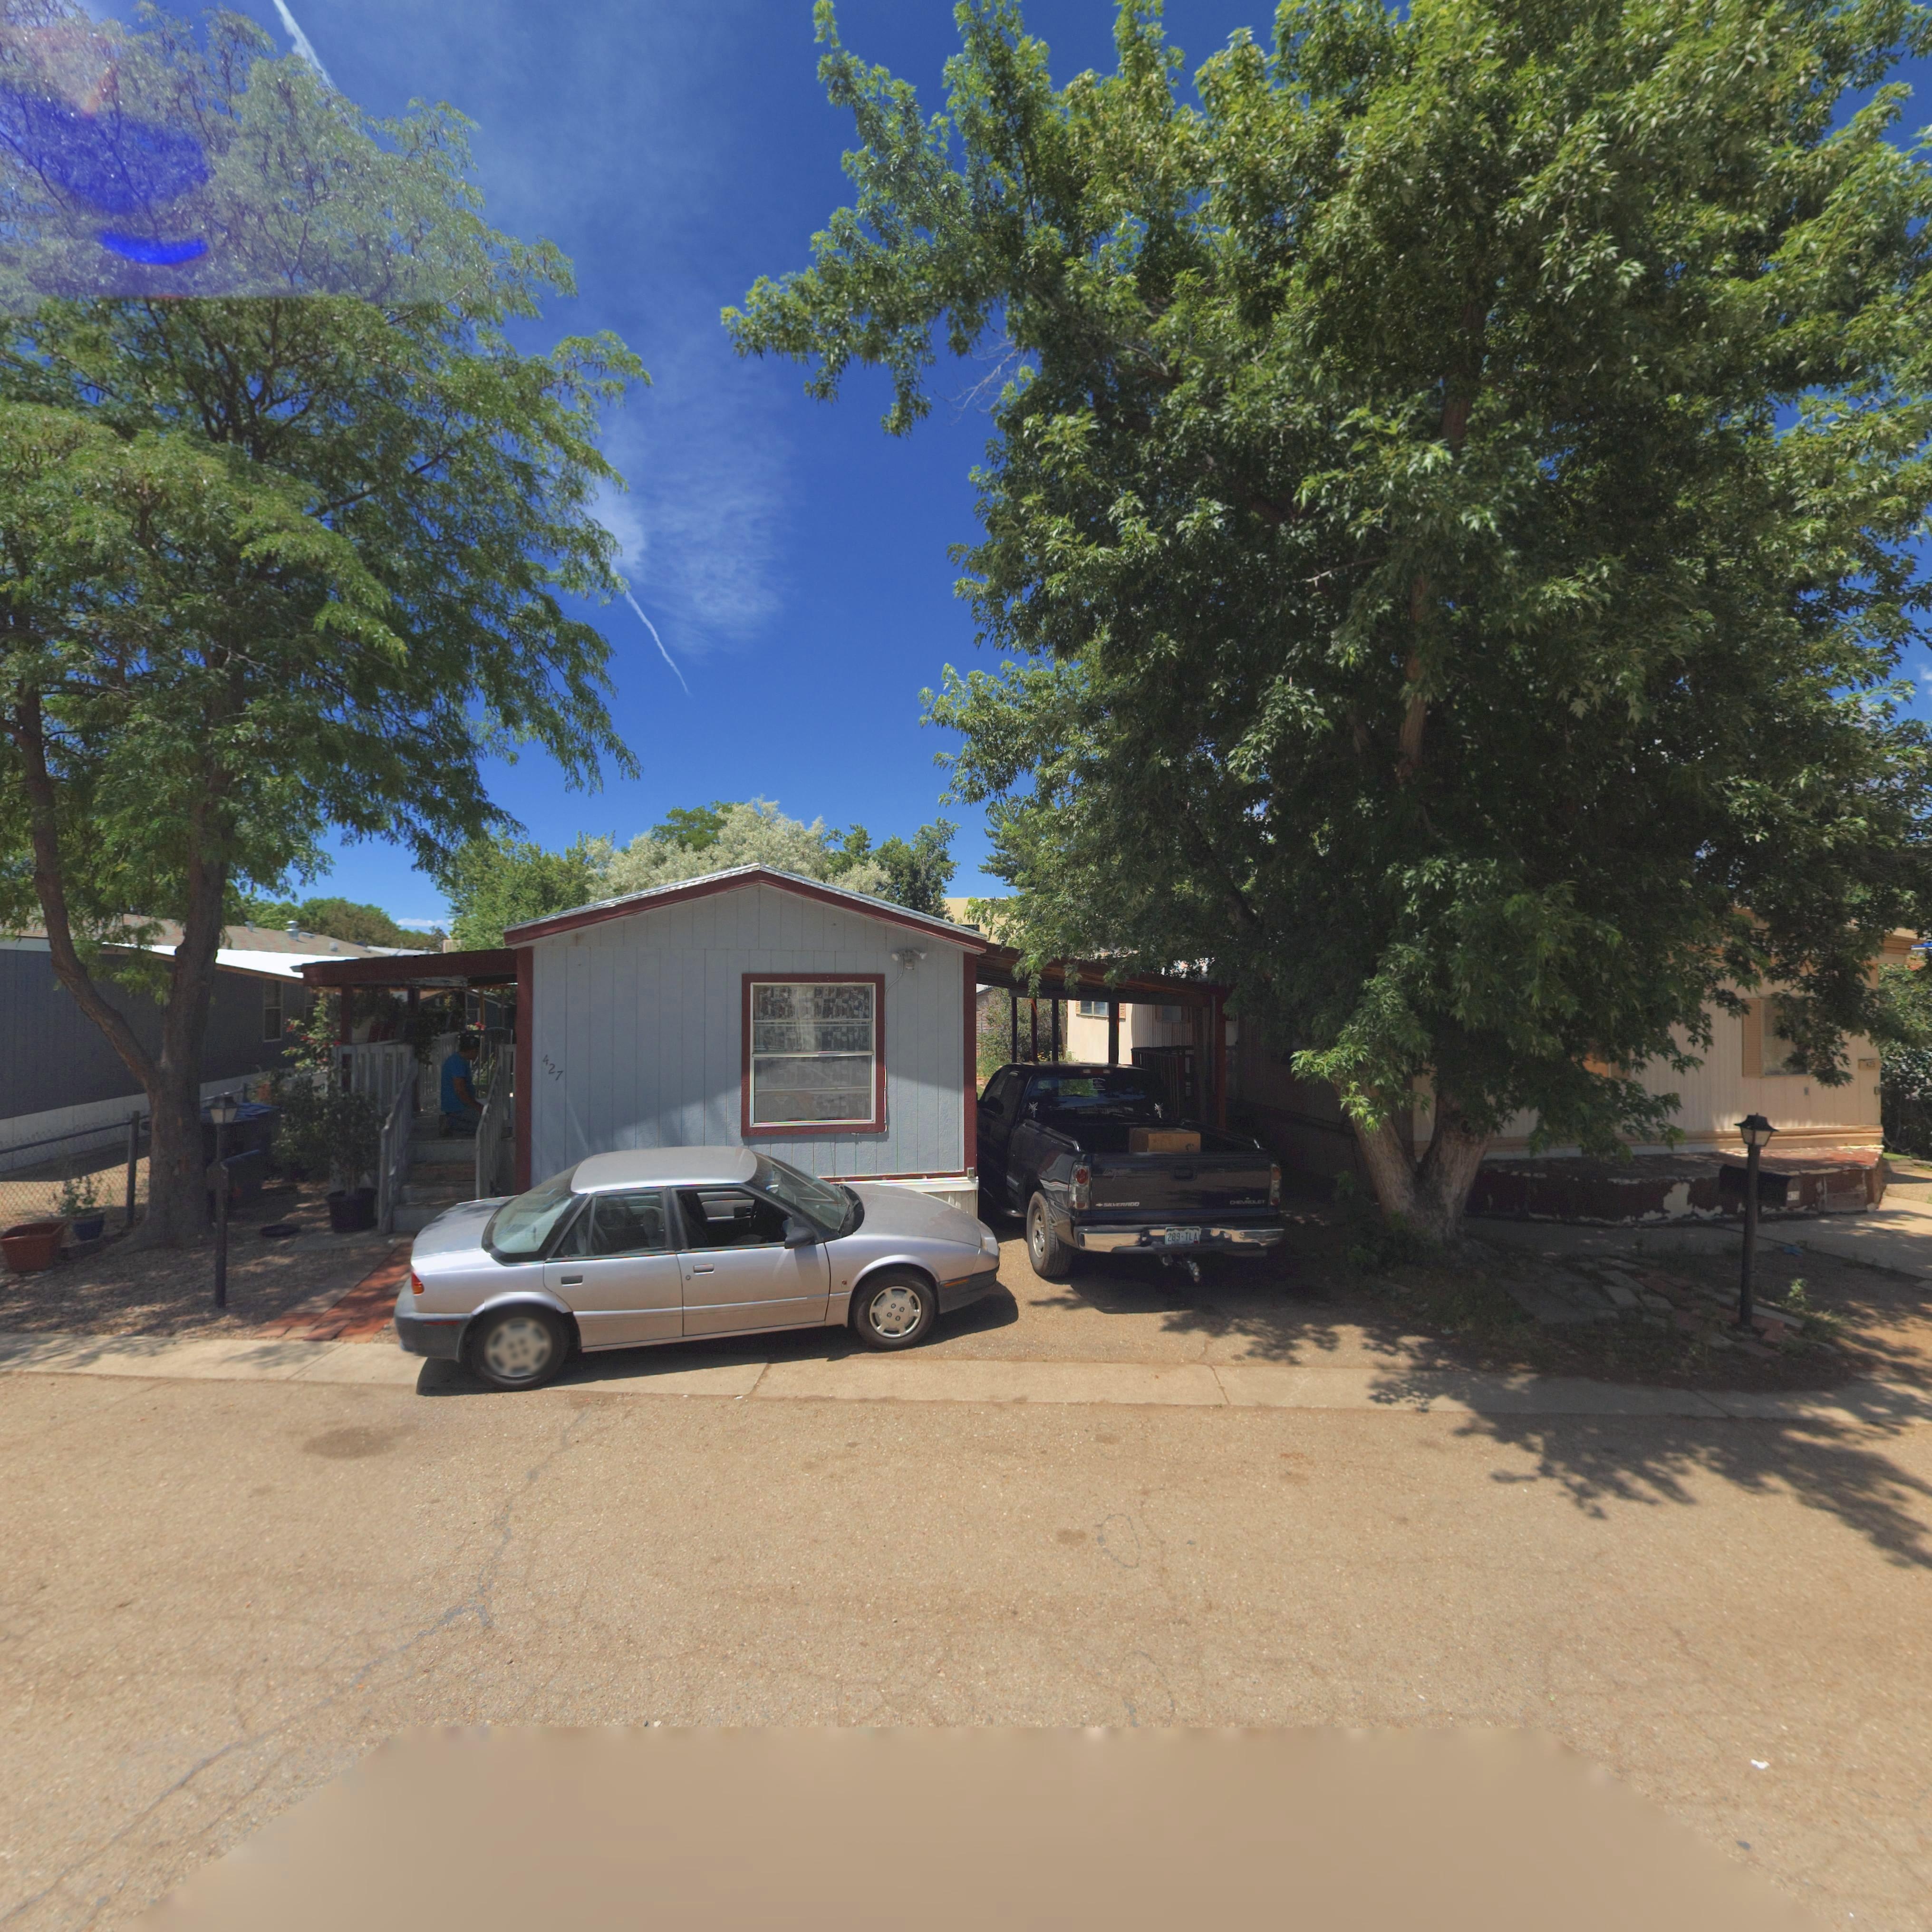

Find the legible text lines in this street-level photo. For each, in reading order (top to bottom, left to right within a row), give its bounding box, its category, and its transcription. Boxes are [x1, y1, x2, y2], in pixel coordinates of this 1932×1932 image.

[542, 1053, 564, 1081] StreetNumber: 427